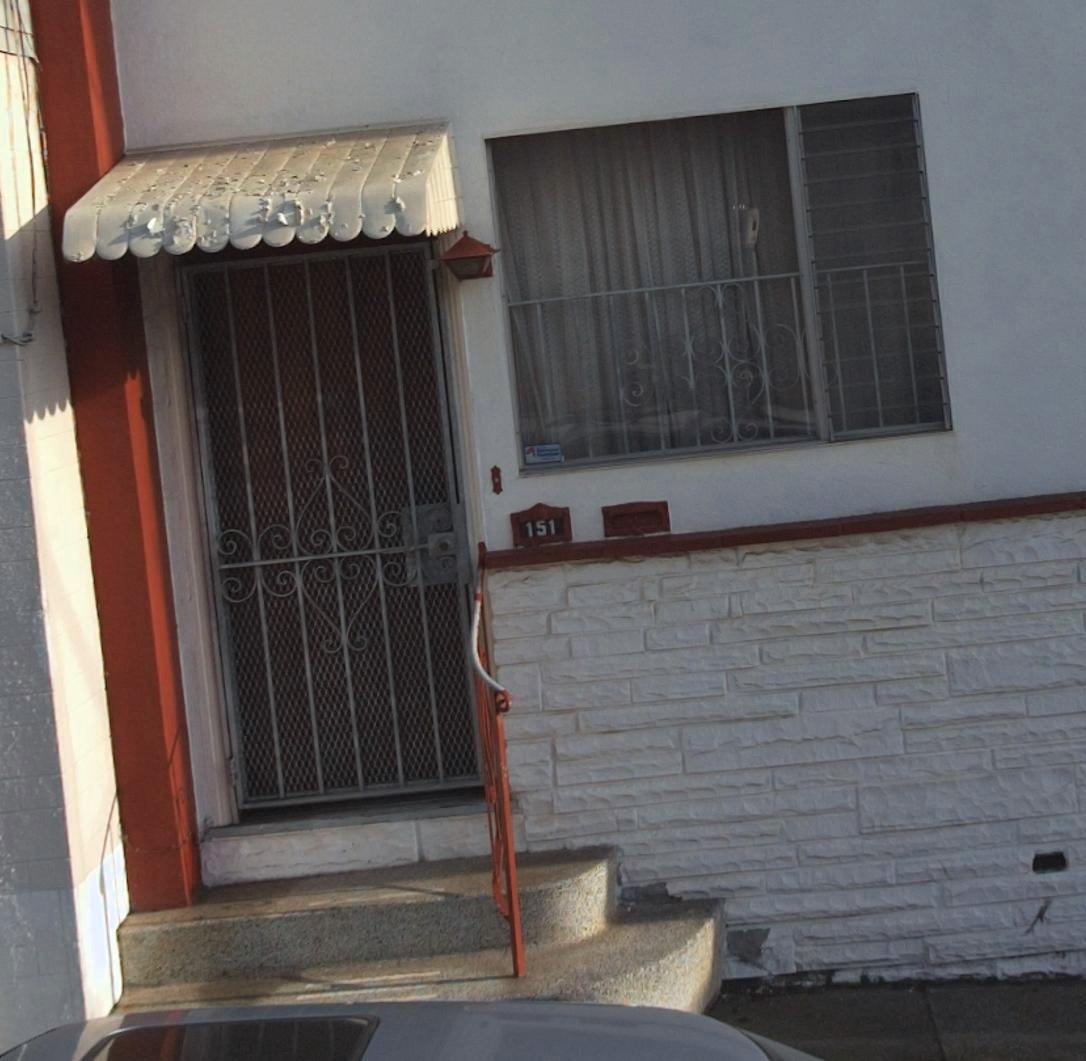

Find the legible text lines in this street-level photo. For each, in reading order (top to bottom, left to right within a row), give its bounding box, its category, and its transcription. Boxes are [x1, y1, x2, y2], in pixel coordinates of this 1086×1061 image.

[523, 515, 558, 540] StreetNumber: 151